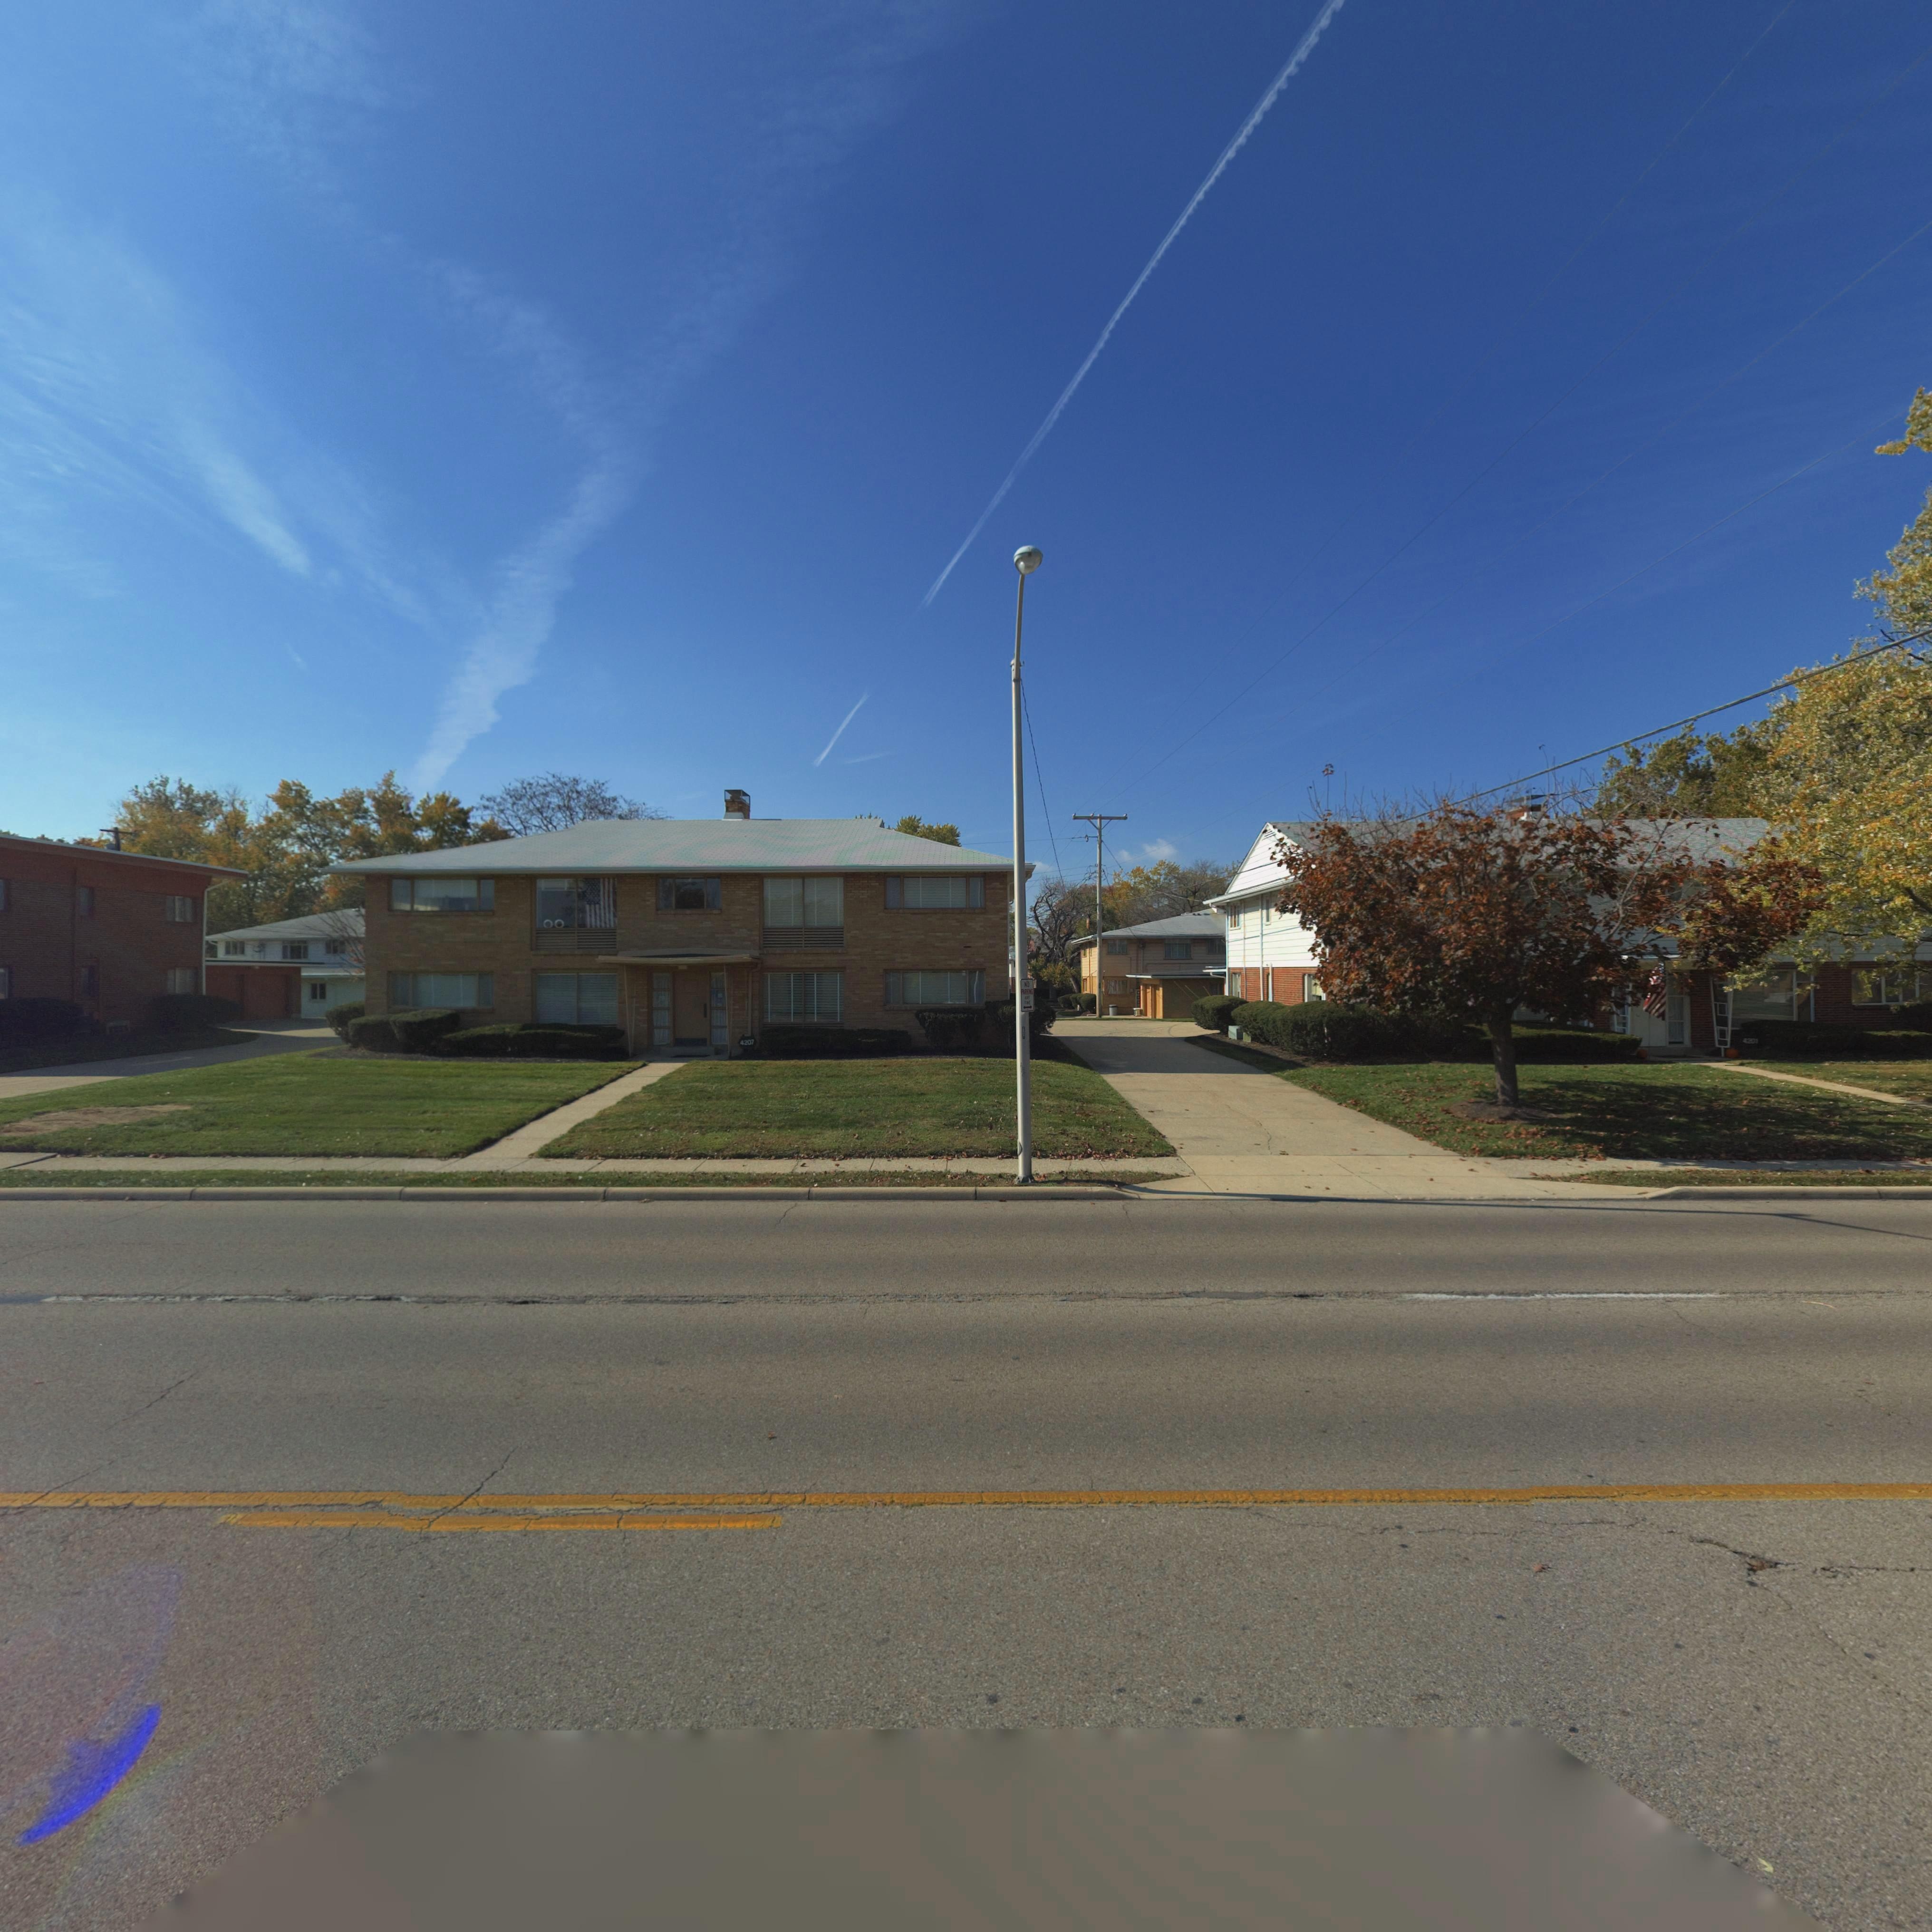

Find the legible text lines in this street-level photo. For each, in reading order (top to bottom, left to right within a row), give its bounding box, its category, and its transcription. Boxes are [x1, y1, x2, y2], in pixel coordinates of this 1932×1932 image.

[739, 1039, 755, 1046] StreetNumber: 4207
[1742, 1038, 1759, 1044] StreetNumber: 4201